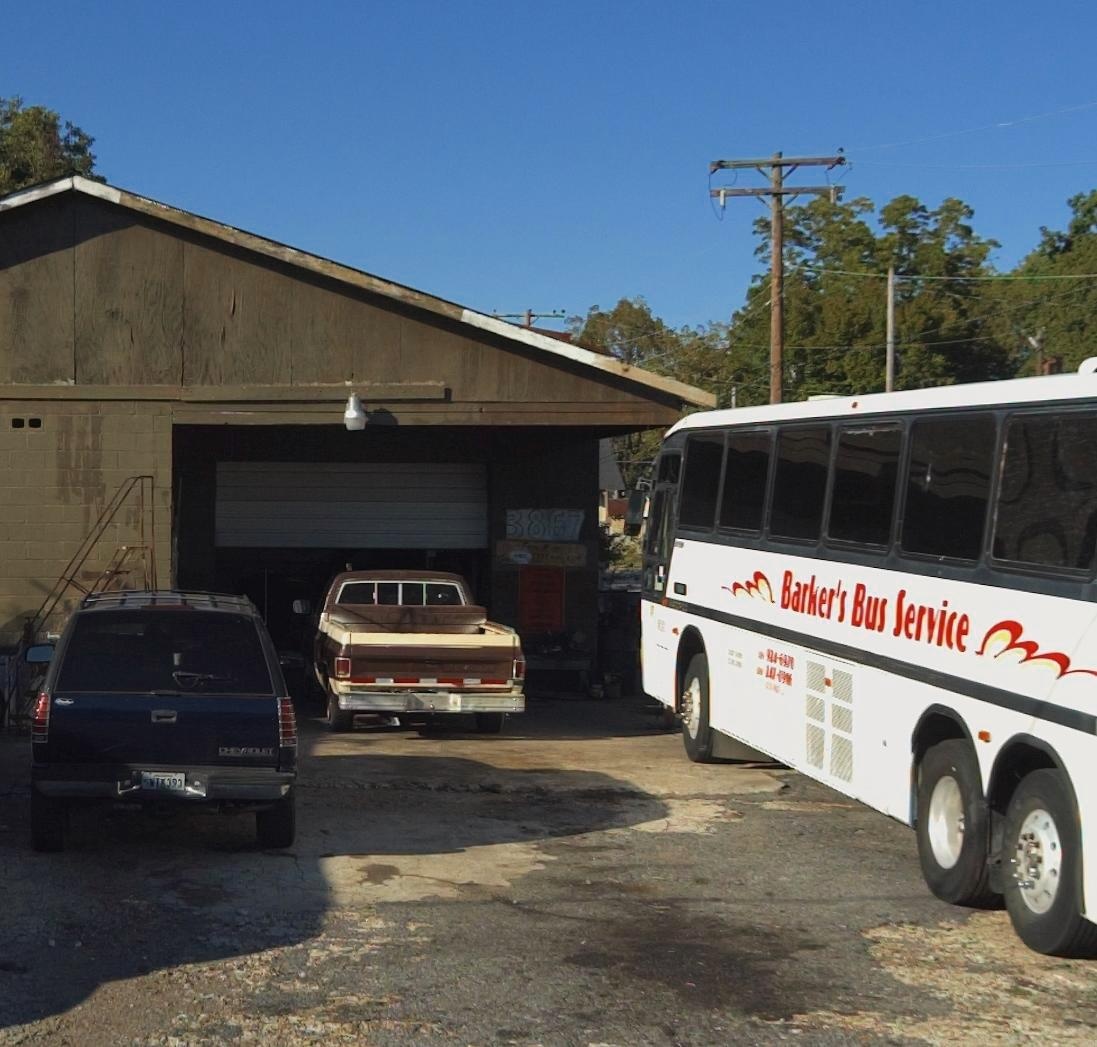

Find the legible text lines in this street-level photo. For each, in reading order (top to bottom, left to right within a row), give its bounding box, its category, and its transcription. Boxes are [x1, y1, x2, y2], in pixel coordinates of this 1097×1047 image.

[504, 506, 587, 541] StreetNumber: 3867
[776, 564, 973, 659] None: Barker's Bus Service
[147, 776, 184, 791] None: W**393